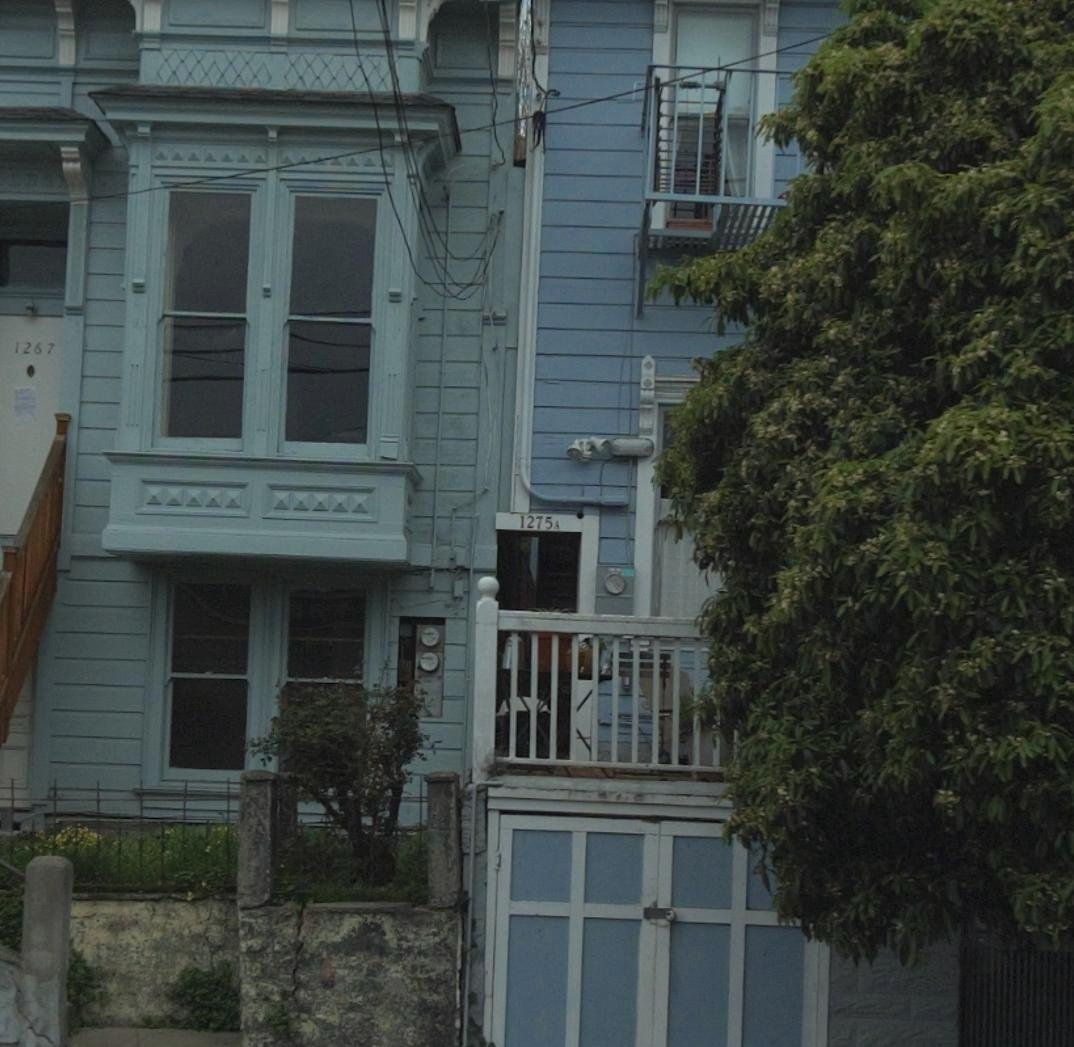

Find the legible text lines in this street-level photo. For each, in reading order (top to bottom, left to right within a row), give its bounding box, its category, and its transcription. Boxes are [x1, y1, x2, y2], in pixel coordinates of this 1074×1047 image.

[13, 341, 56, 356] StreetNumber: 1267
[519, 514, 560, 531] StreetNumber: 1275A